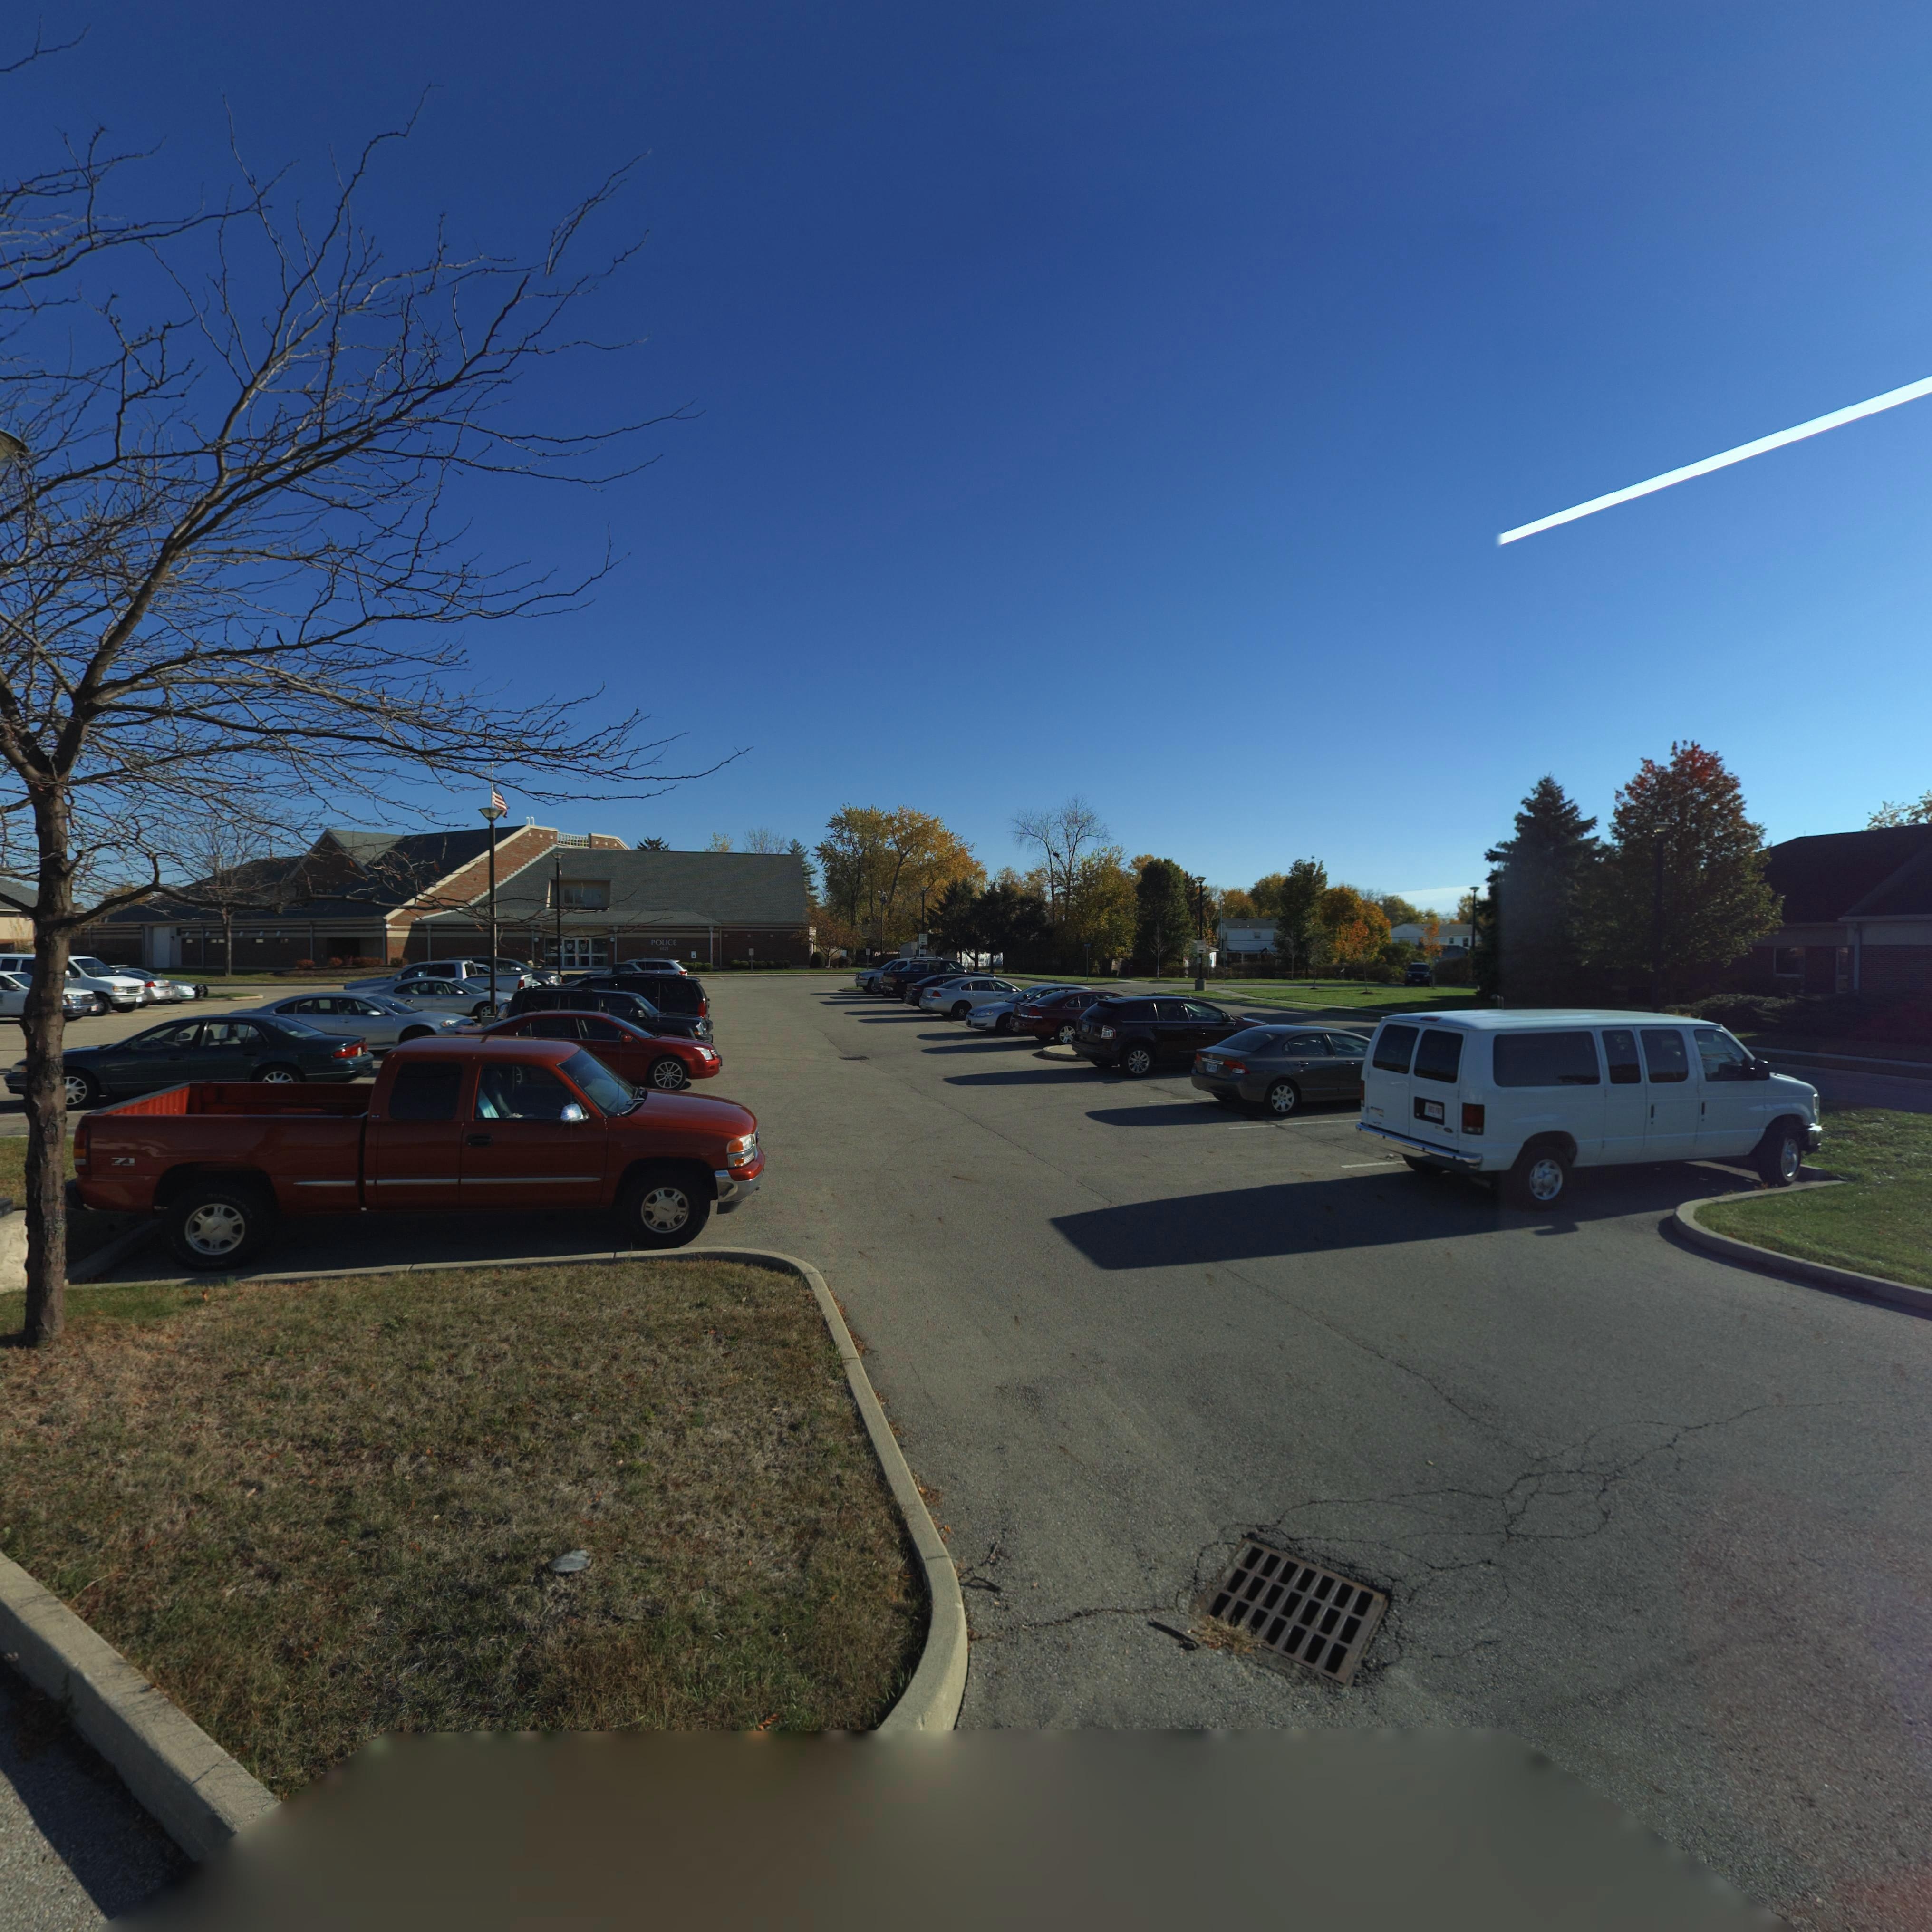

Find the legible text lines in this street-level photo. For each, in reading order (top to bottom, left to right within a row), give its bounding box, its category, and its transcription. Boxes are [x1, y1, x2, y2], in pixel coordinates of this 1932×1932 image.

[659, 947, 669, 951] StreetNumber: 6121